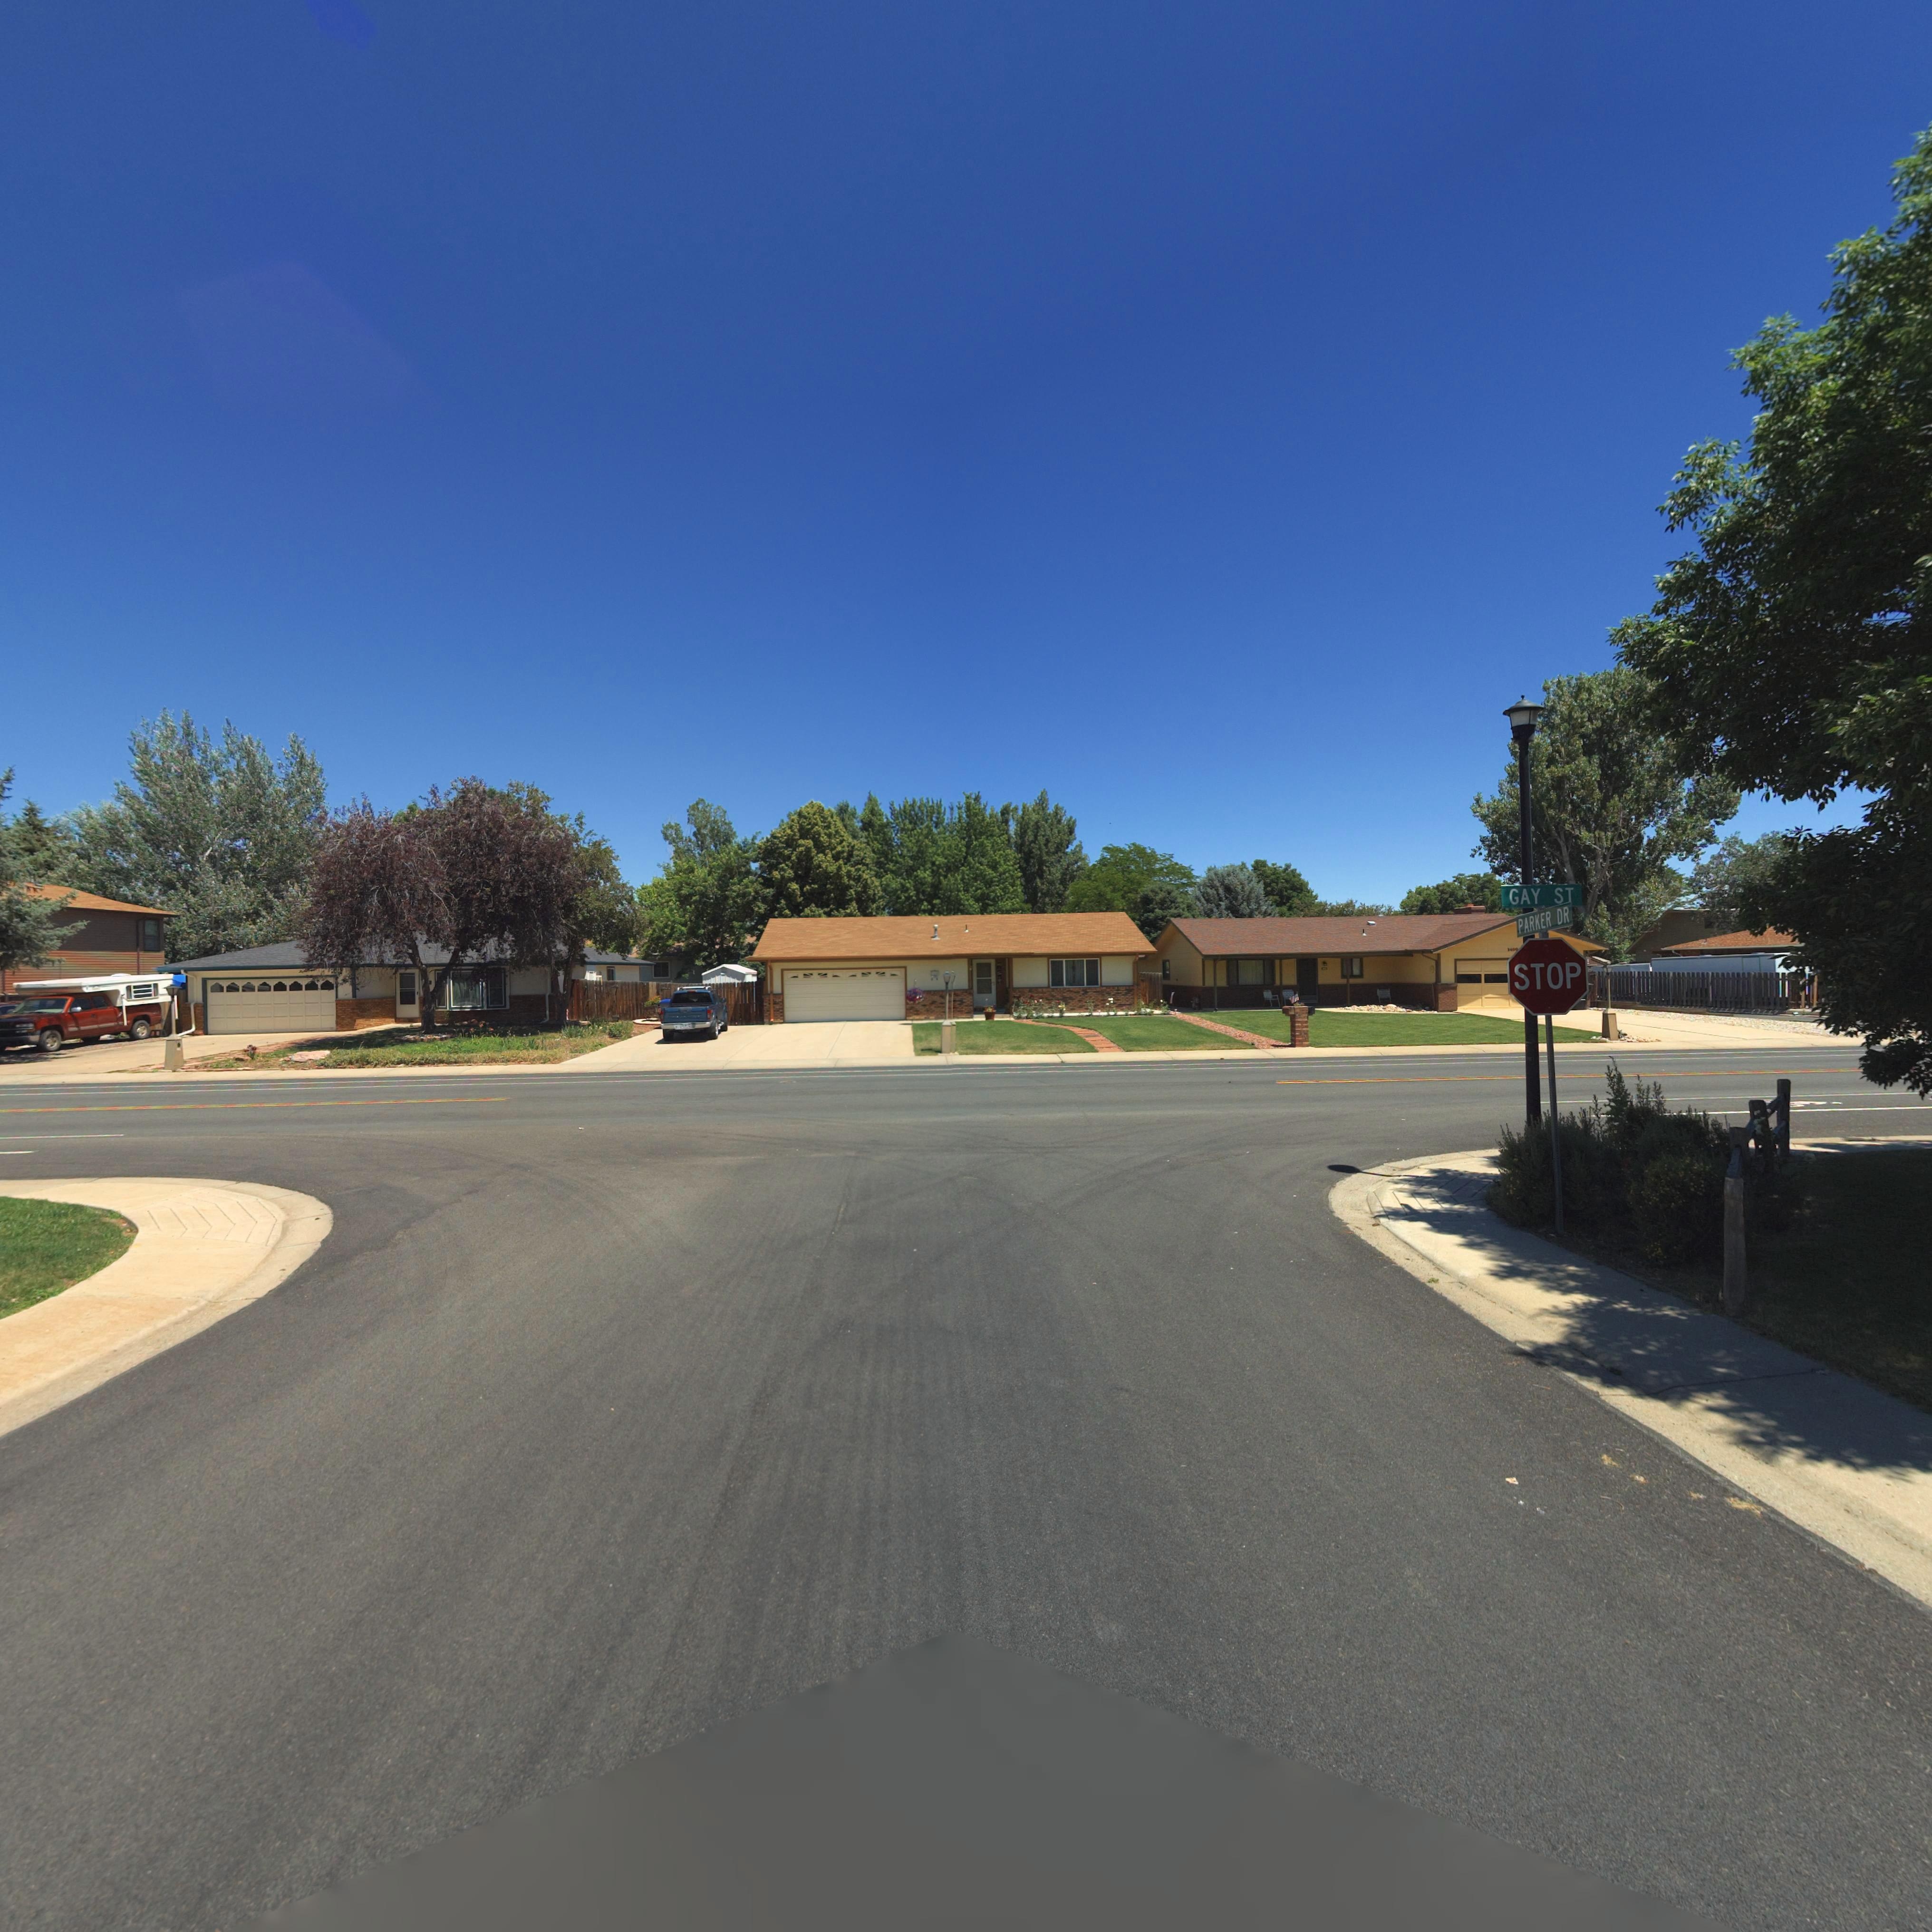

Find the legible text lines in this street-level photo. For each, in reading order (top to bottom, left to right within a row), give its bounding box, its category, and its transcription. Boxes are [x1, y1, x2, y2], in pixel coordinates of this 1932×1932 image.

[1508, 887, 1574, 905] StreetName: GAY ST
[1517, 906, 1569, 935] StreetName: PARKER DR
[1507, 947, 1518, 951] StreetNumber: *400